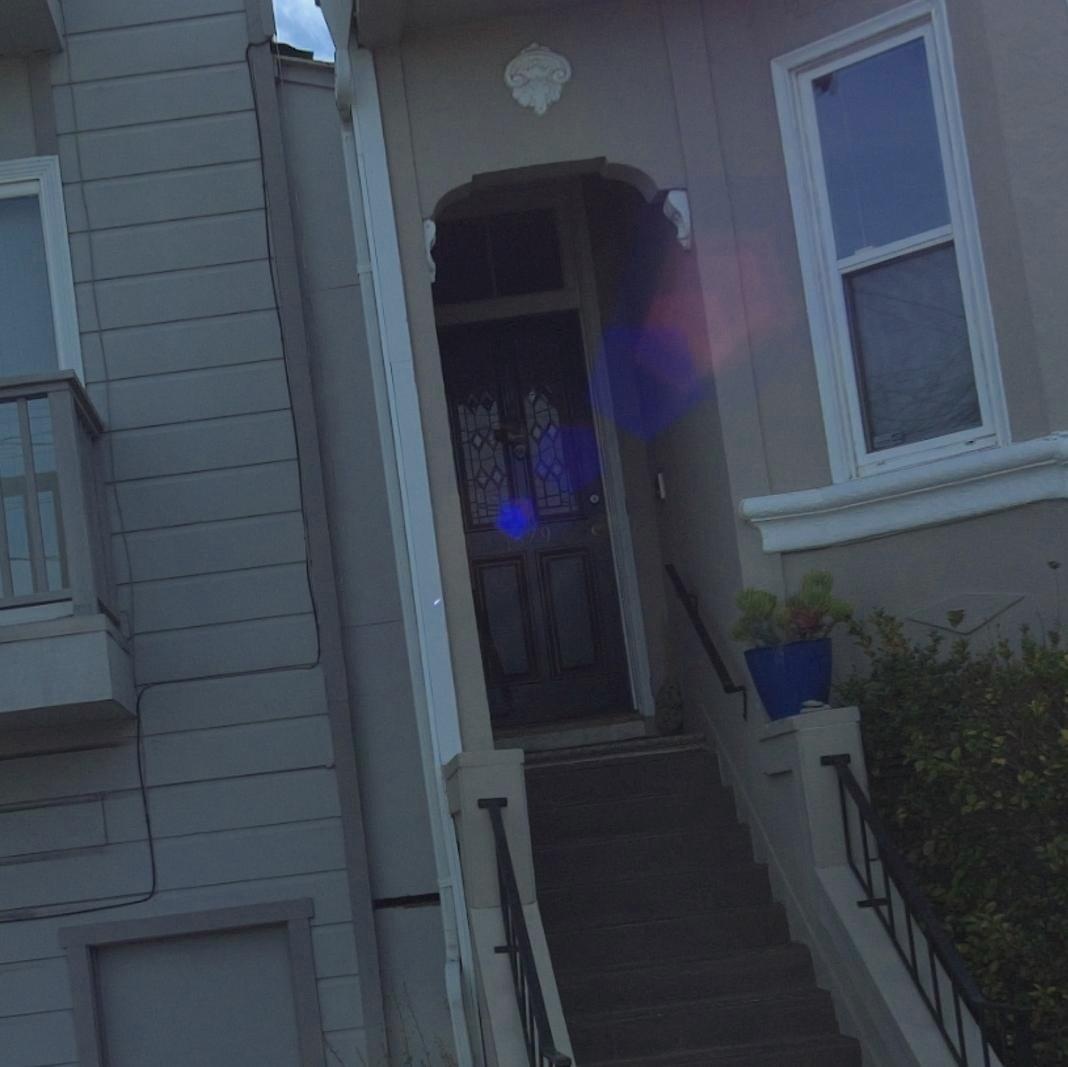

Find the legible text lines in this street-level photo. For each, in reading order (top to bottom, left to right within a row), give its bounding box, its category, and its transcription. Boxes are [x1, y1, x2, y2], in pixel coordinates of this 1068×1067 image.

[501, 524, 553, 552] StreetNumber: ***9